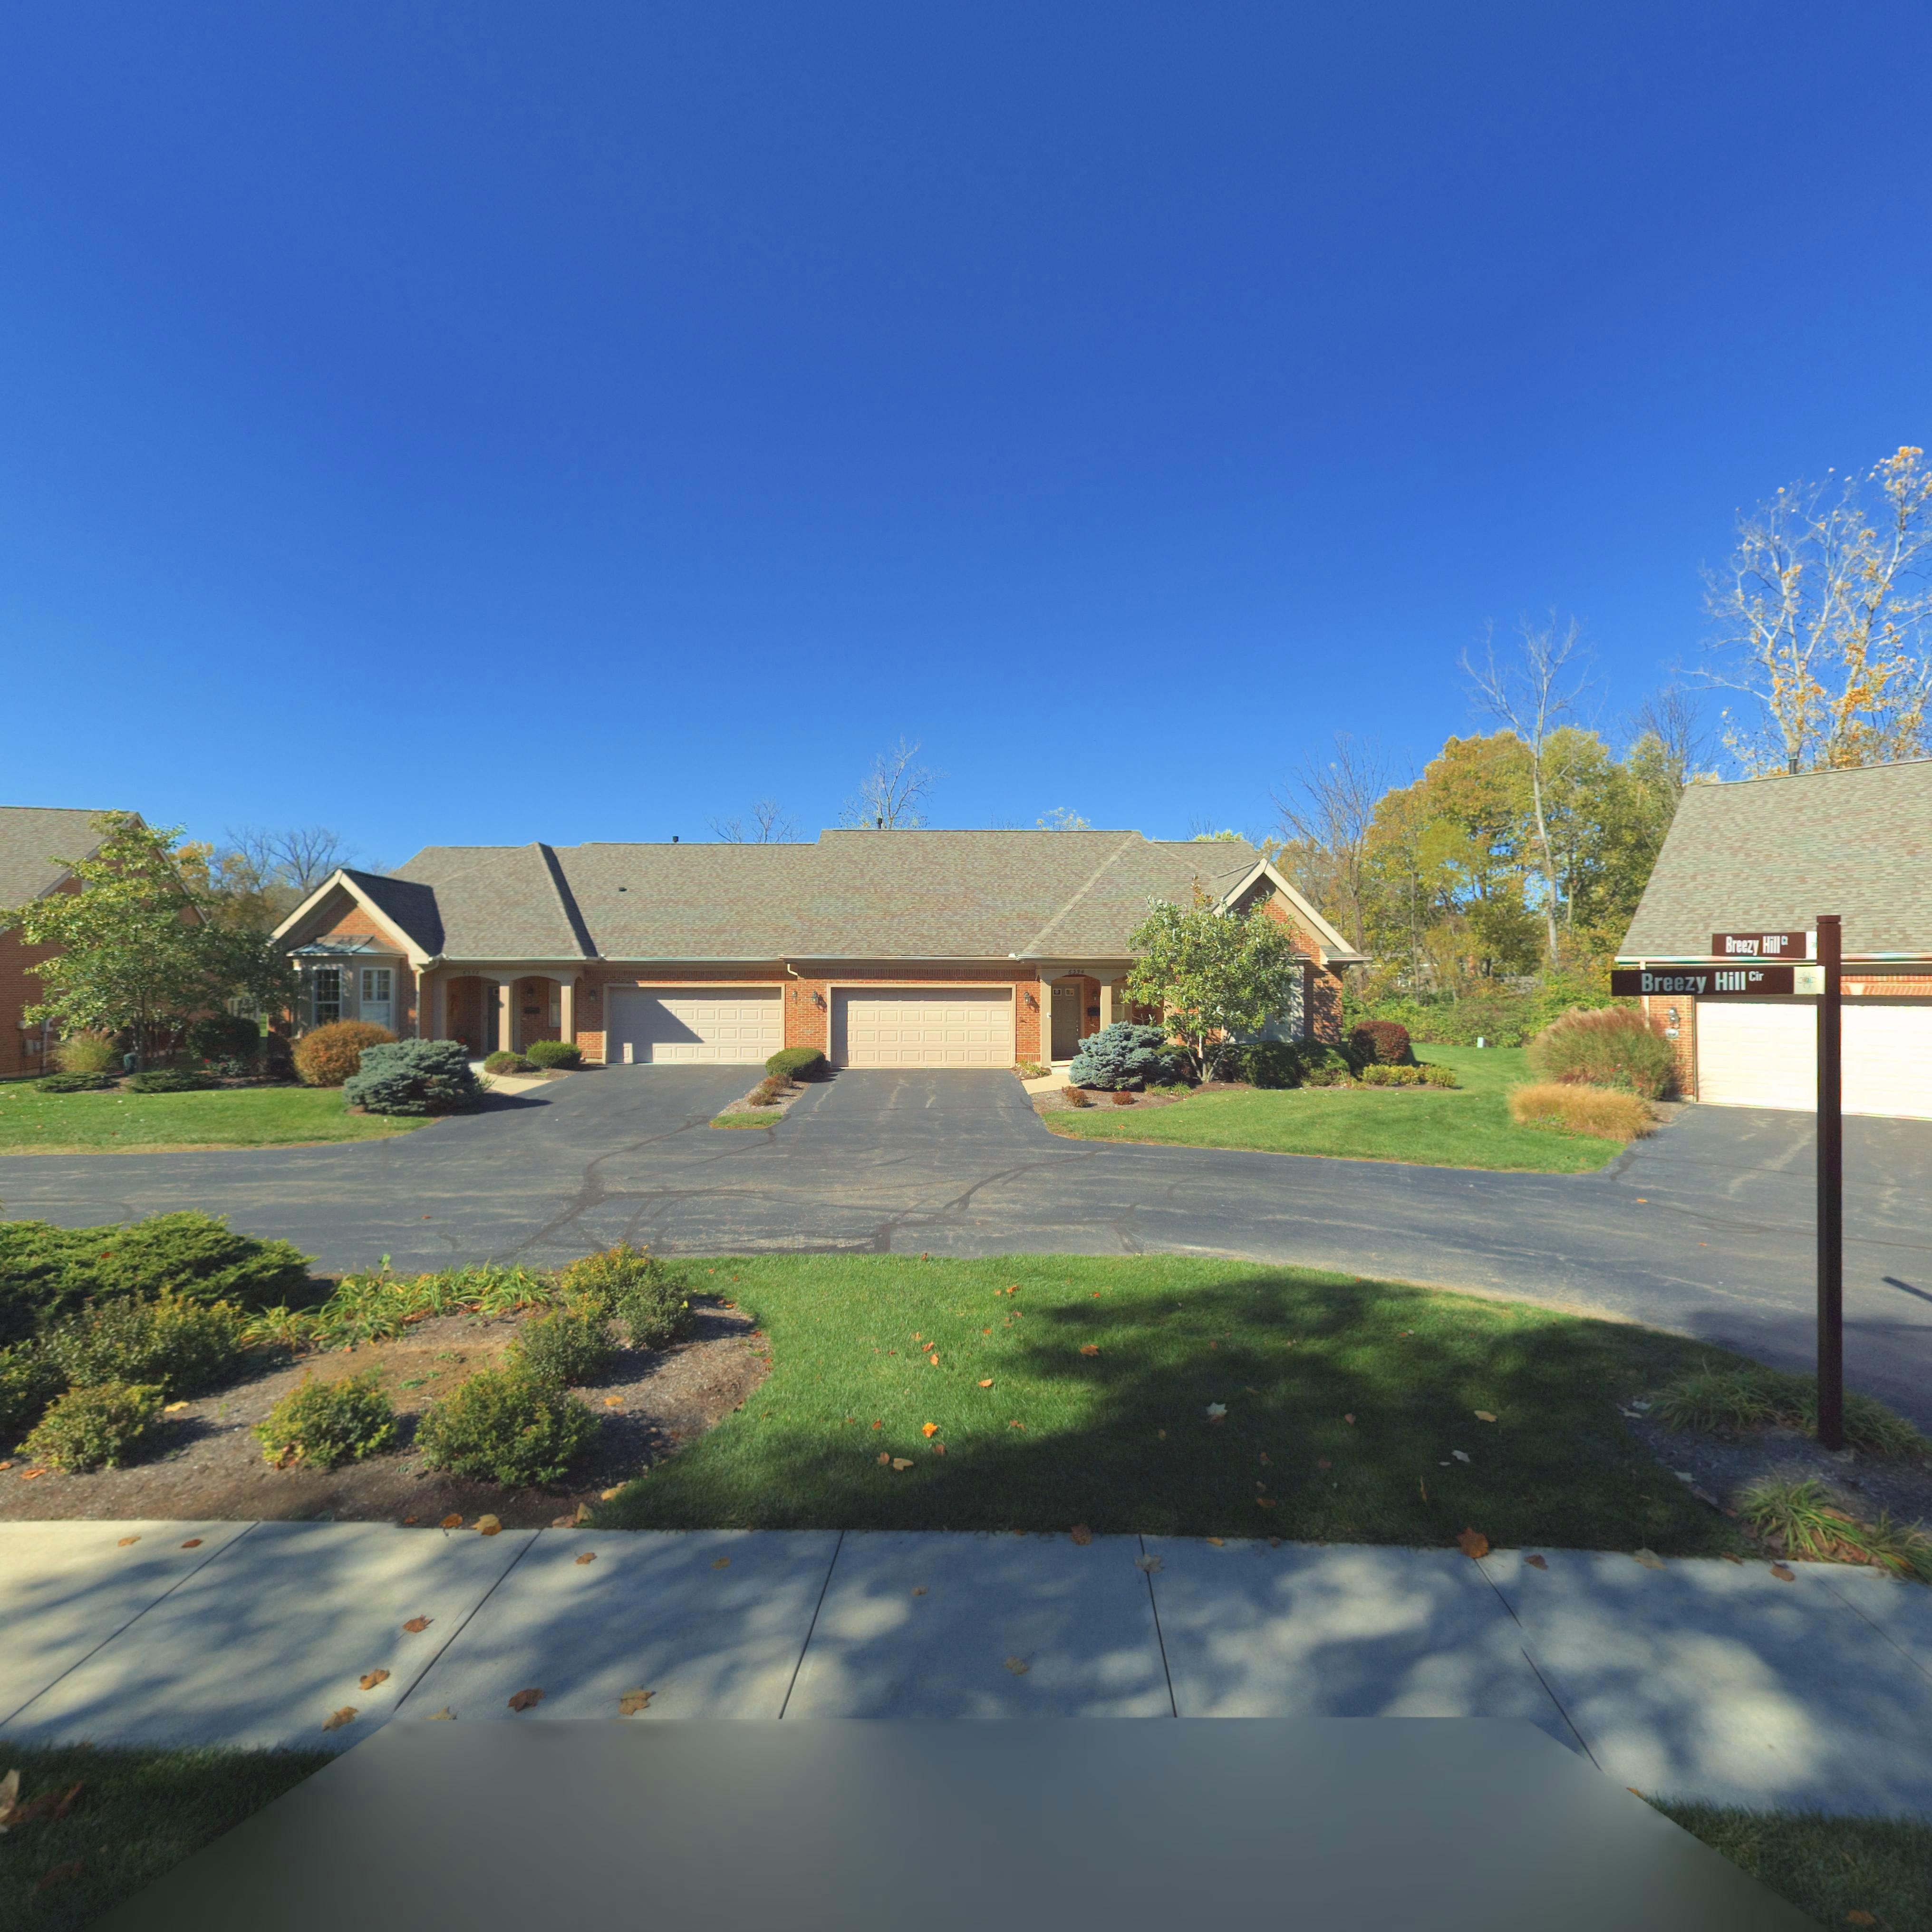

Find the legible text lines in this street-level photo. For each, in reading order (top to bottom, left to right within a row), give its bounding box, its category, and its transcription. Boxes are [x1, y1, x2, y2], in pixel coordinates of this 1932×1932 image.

[1725, 935, 1789, 957] StreetName: Breezy Hill Ct
[1067, 968, 1085, 975] StreetNumber: 6**4
[1640, 970, 1765, 995] StreetName: Breezy Hill Cir